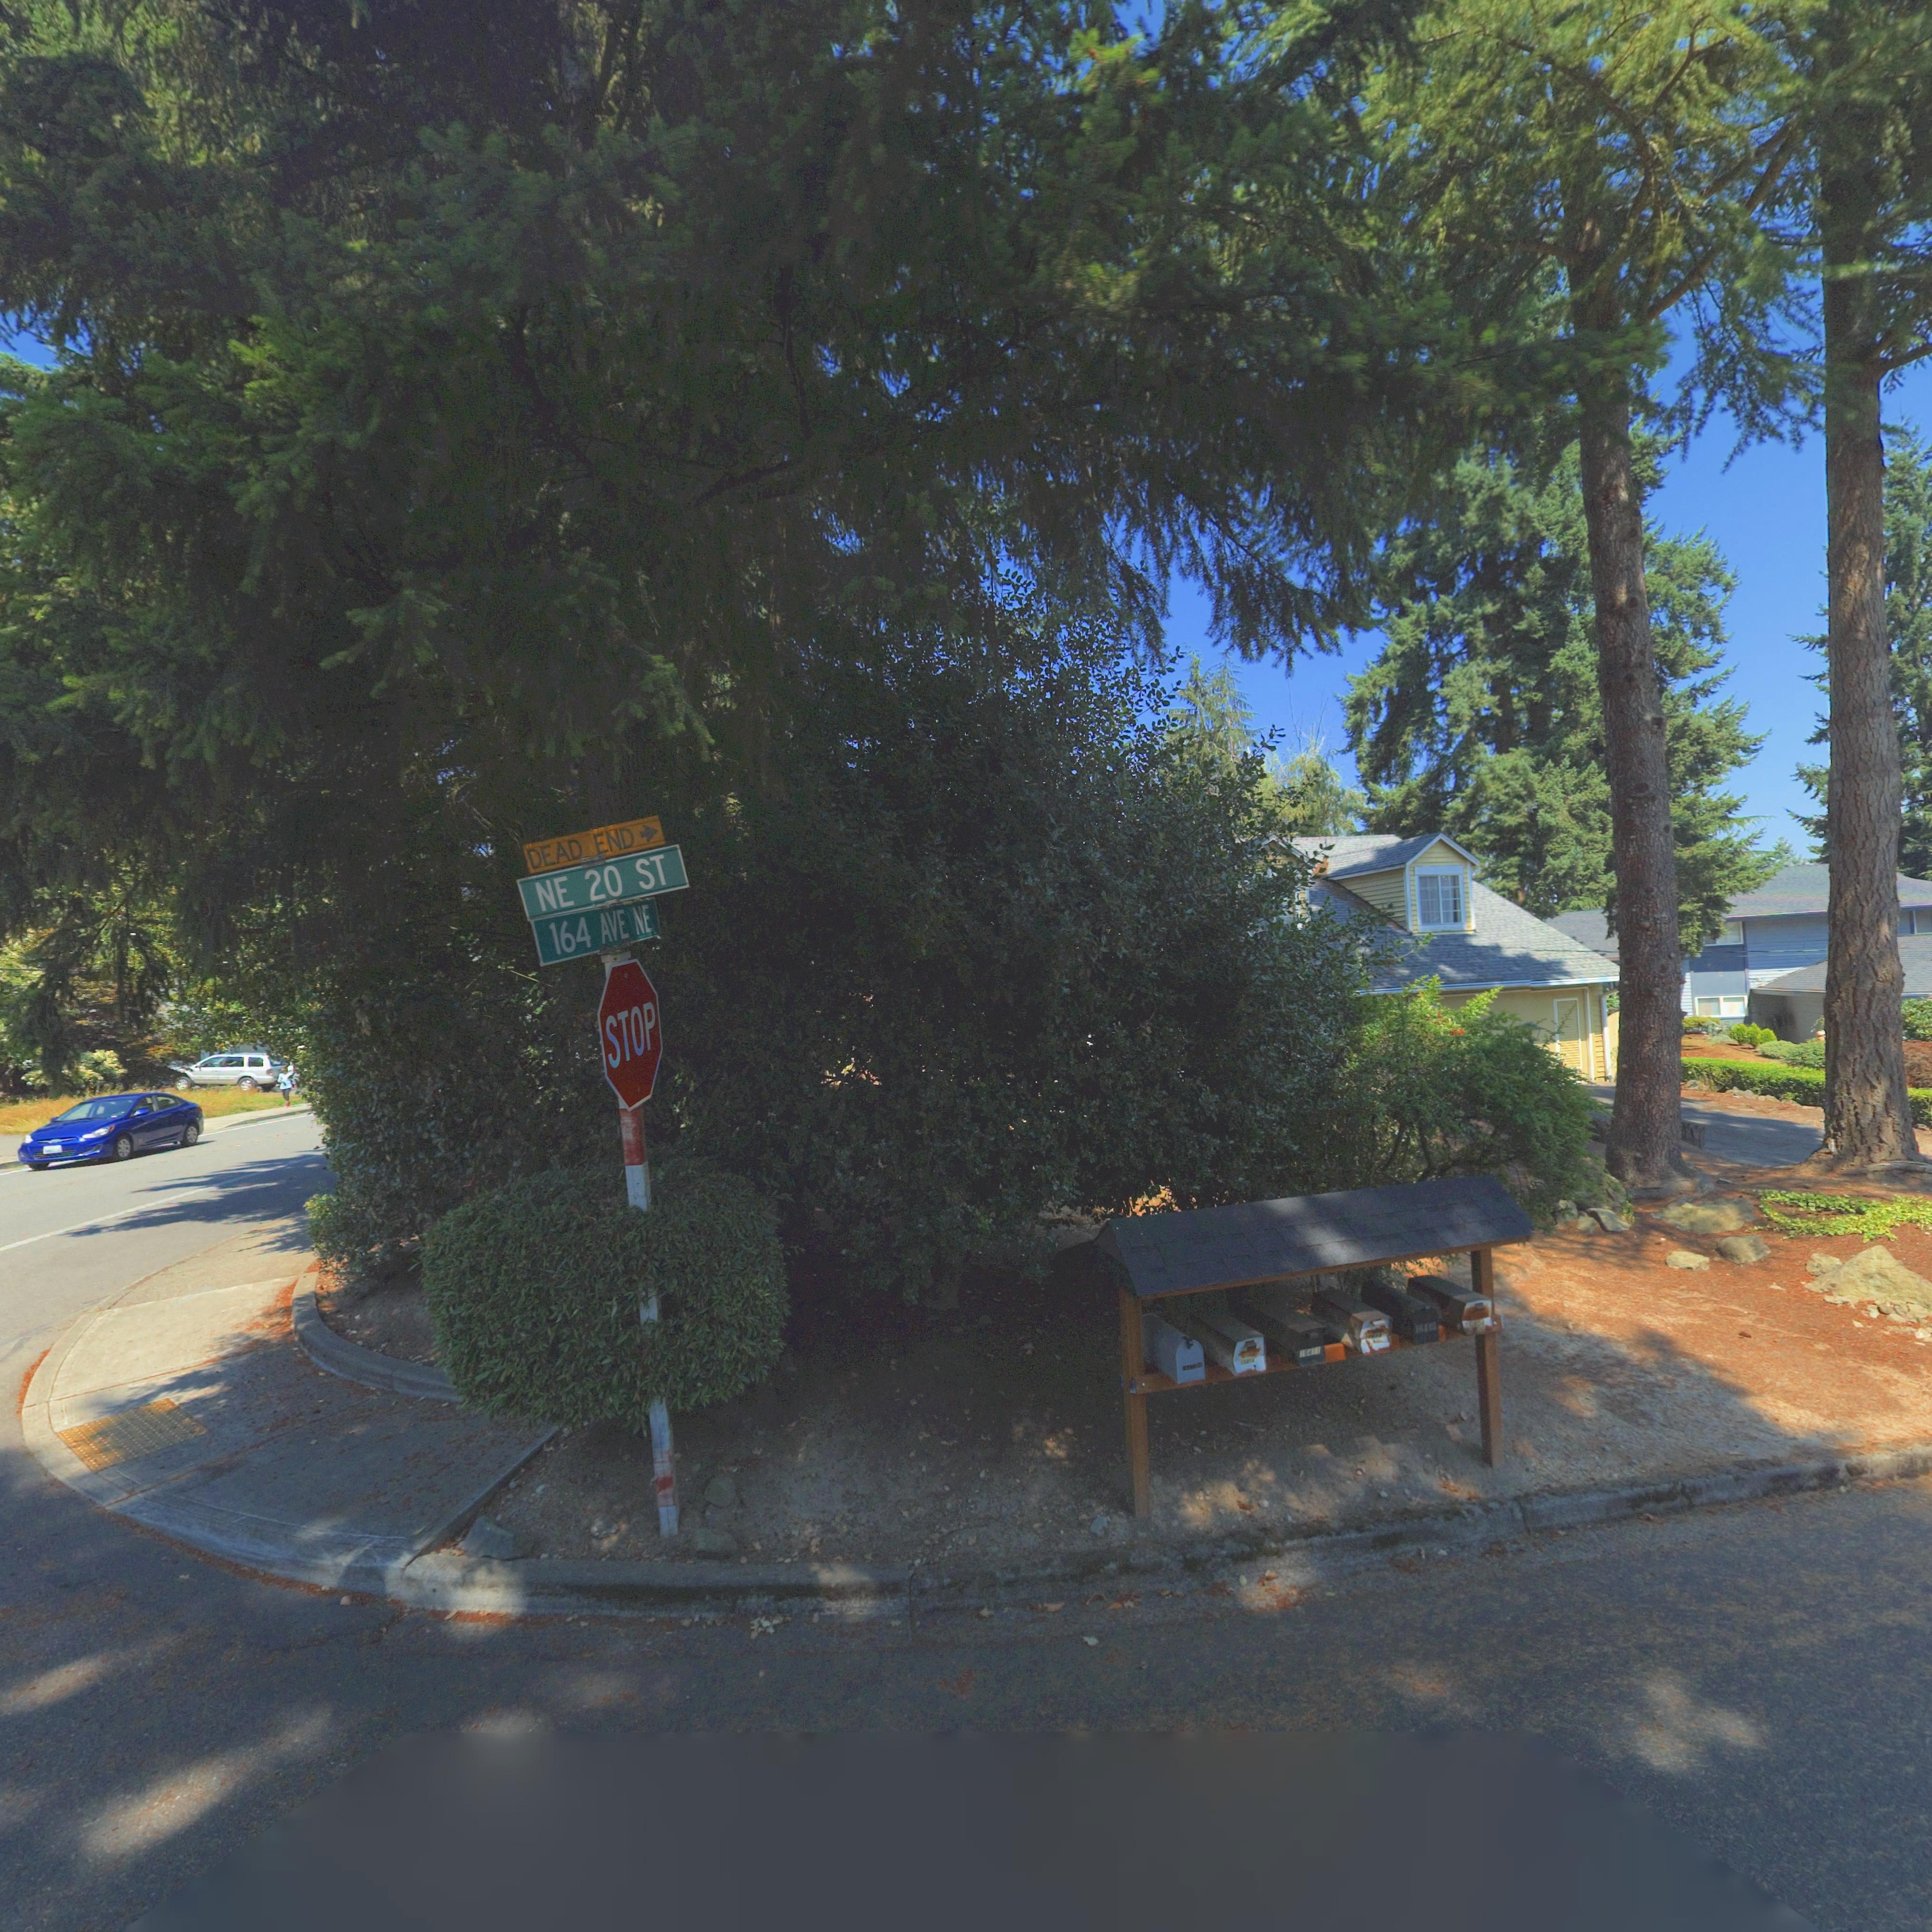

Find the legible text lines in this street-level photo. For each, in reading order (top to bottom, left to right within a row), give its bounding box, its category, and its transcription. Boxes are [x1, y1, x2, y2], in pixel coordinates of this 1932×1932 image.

[533, 853, 667, 912] StreetName: NE 20 ST
[549, 905, 653, 955] StreetName: 164 AVENE
[1301, 1347, 1320, 1356] StreetNumber: 1641*
[1414, 1321, 1437, 1333] StreetNumber: 161**